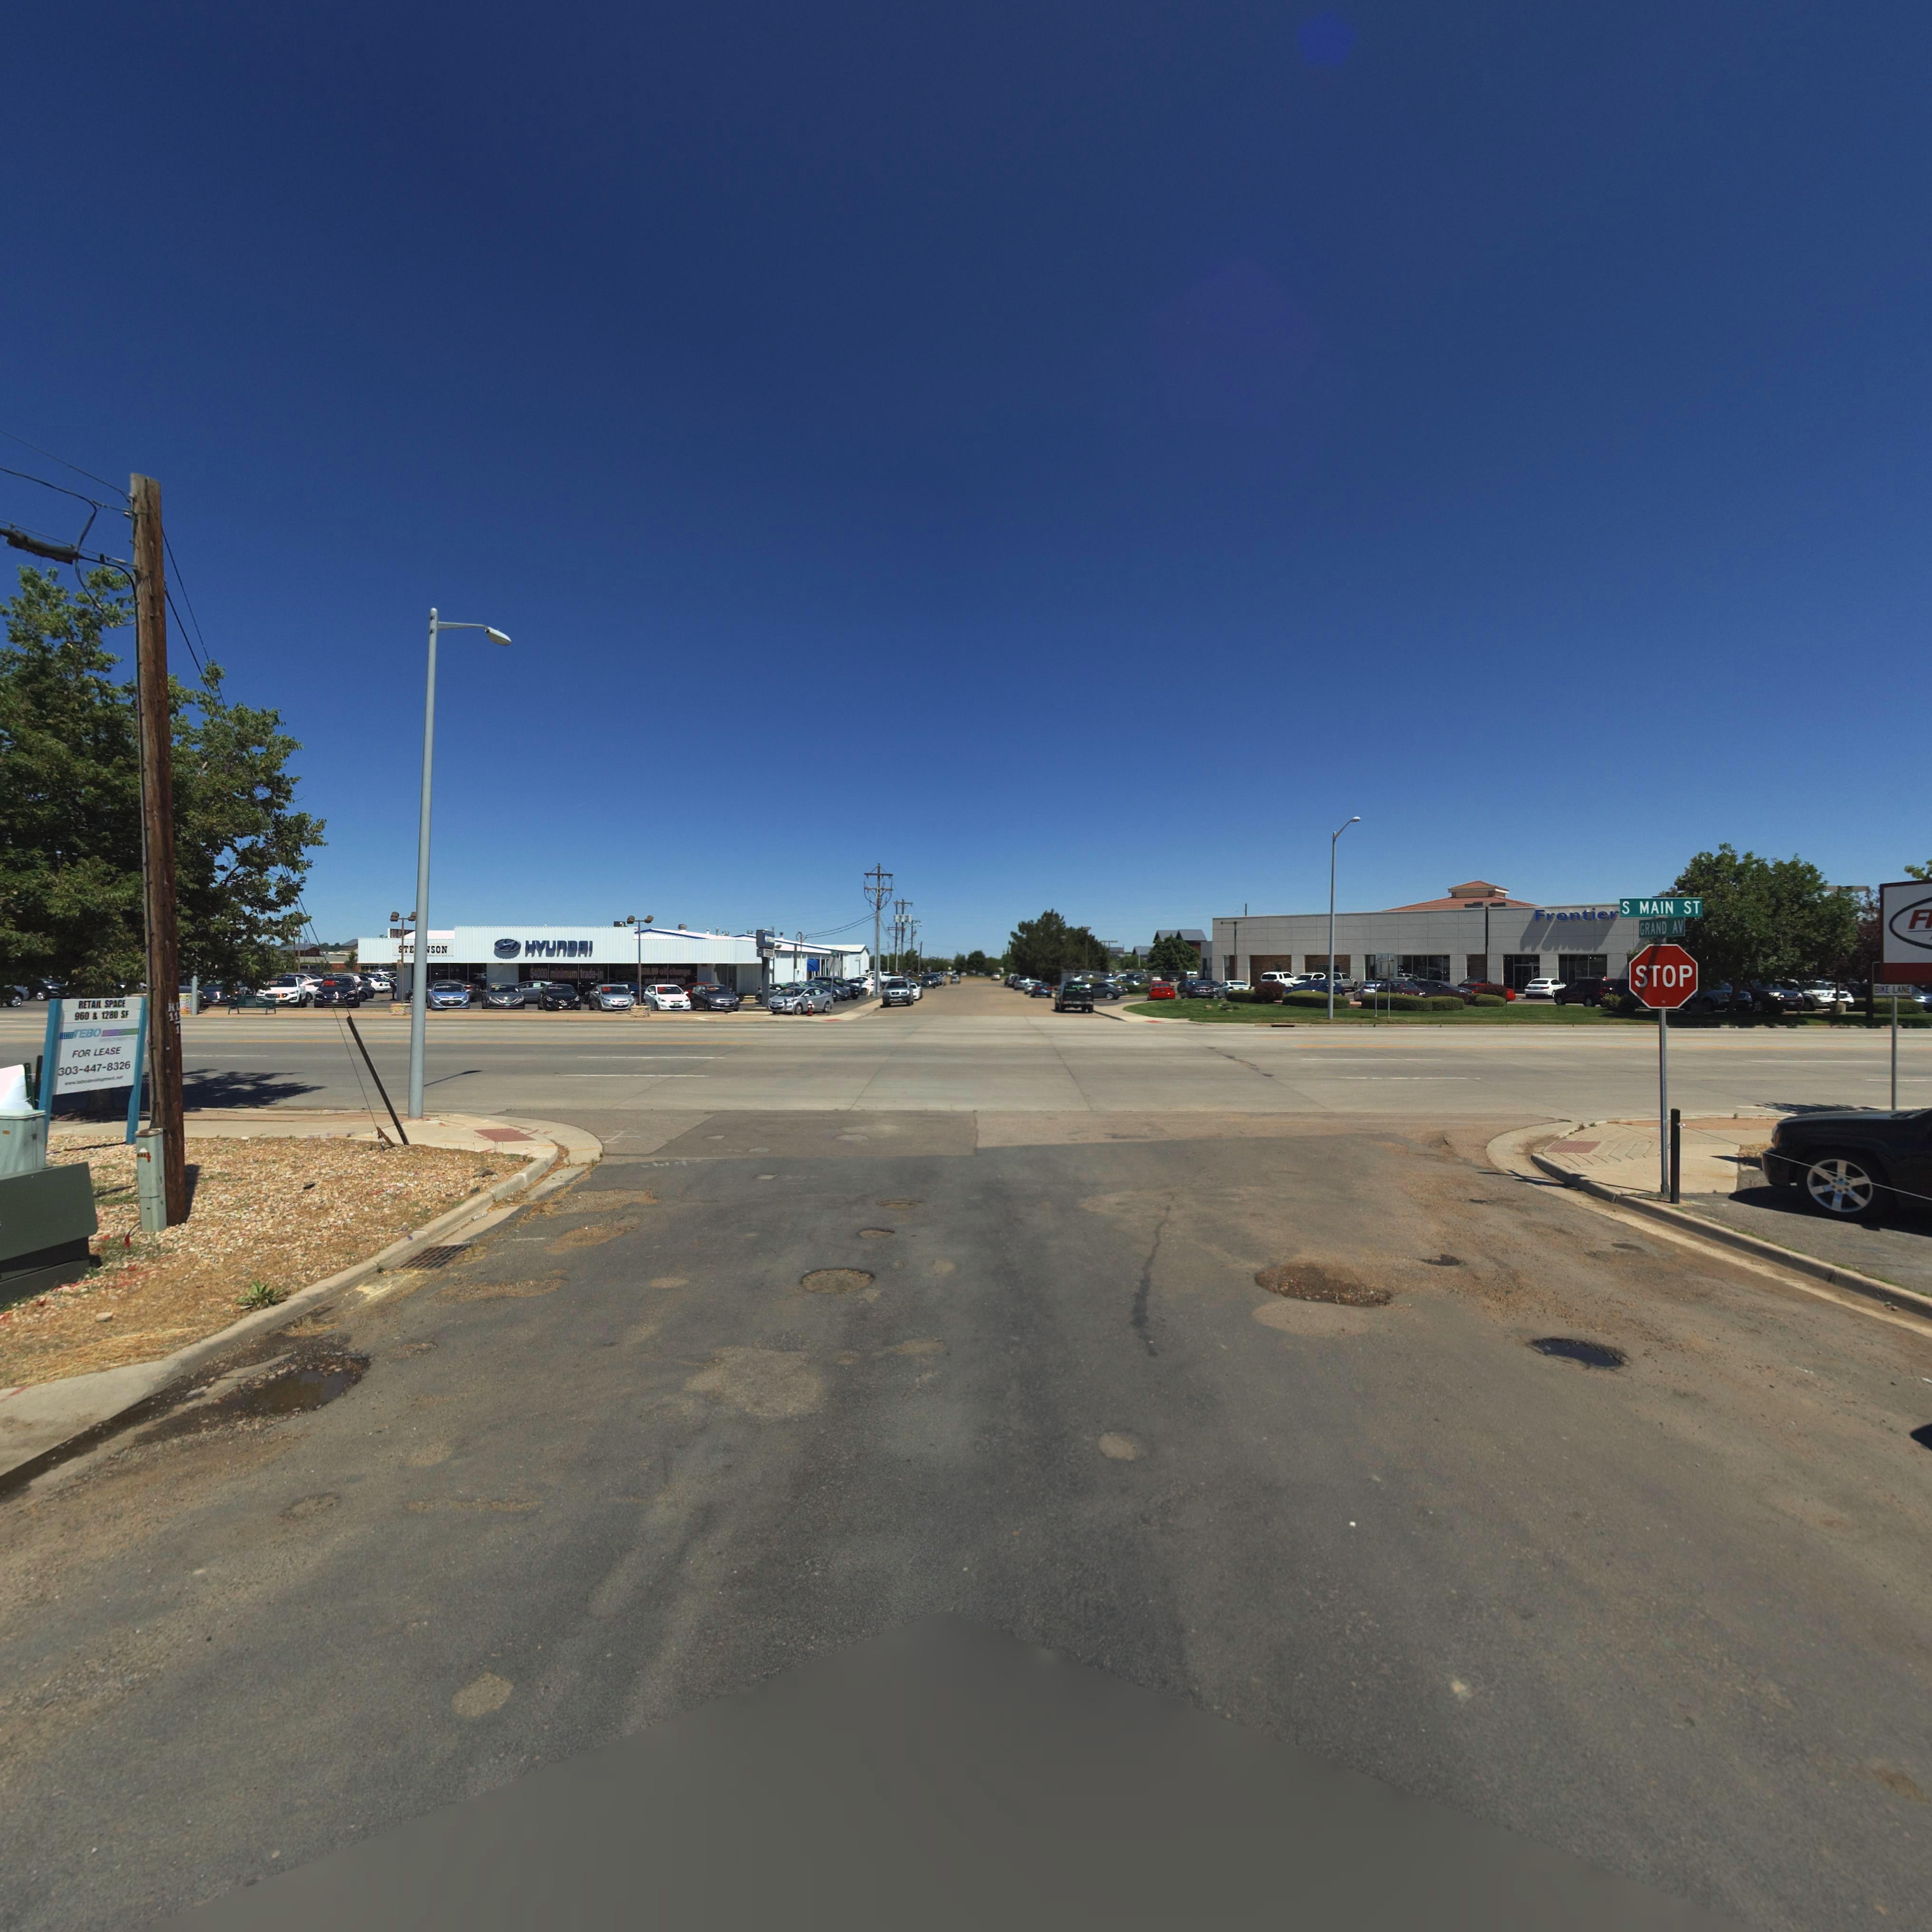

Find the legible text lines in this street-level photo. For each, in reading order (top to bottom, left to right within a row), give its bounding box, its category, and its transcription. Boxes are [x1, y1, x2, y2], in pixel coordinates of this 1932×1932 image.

[1534, 906, 1620, 923] BusinessName: Frontier
[1621, 900, 1701, 915] StreetName: S MAIN ST
[1906, 908, 1931, 929] BusinessName: F
[1639, 919, 1684, 936] StreetName: GRAND AV
[398, 945, 447, 954] BusinessName: *TE***SON
[525, 940, 593, 951] BusinessName: HYUnDAI